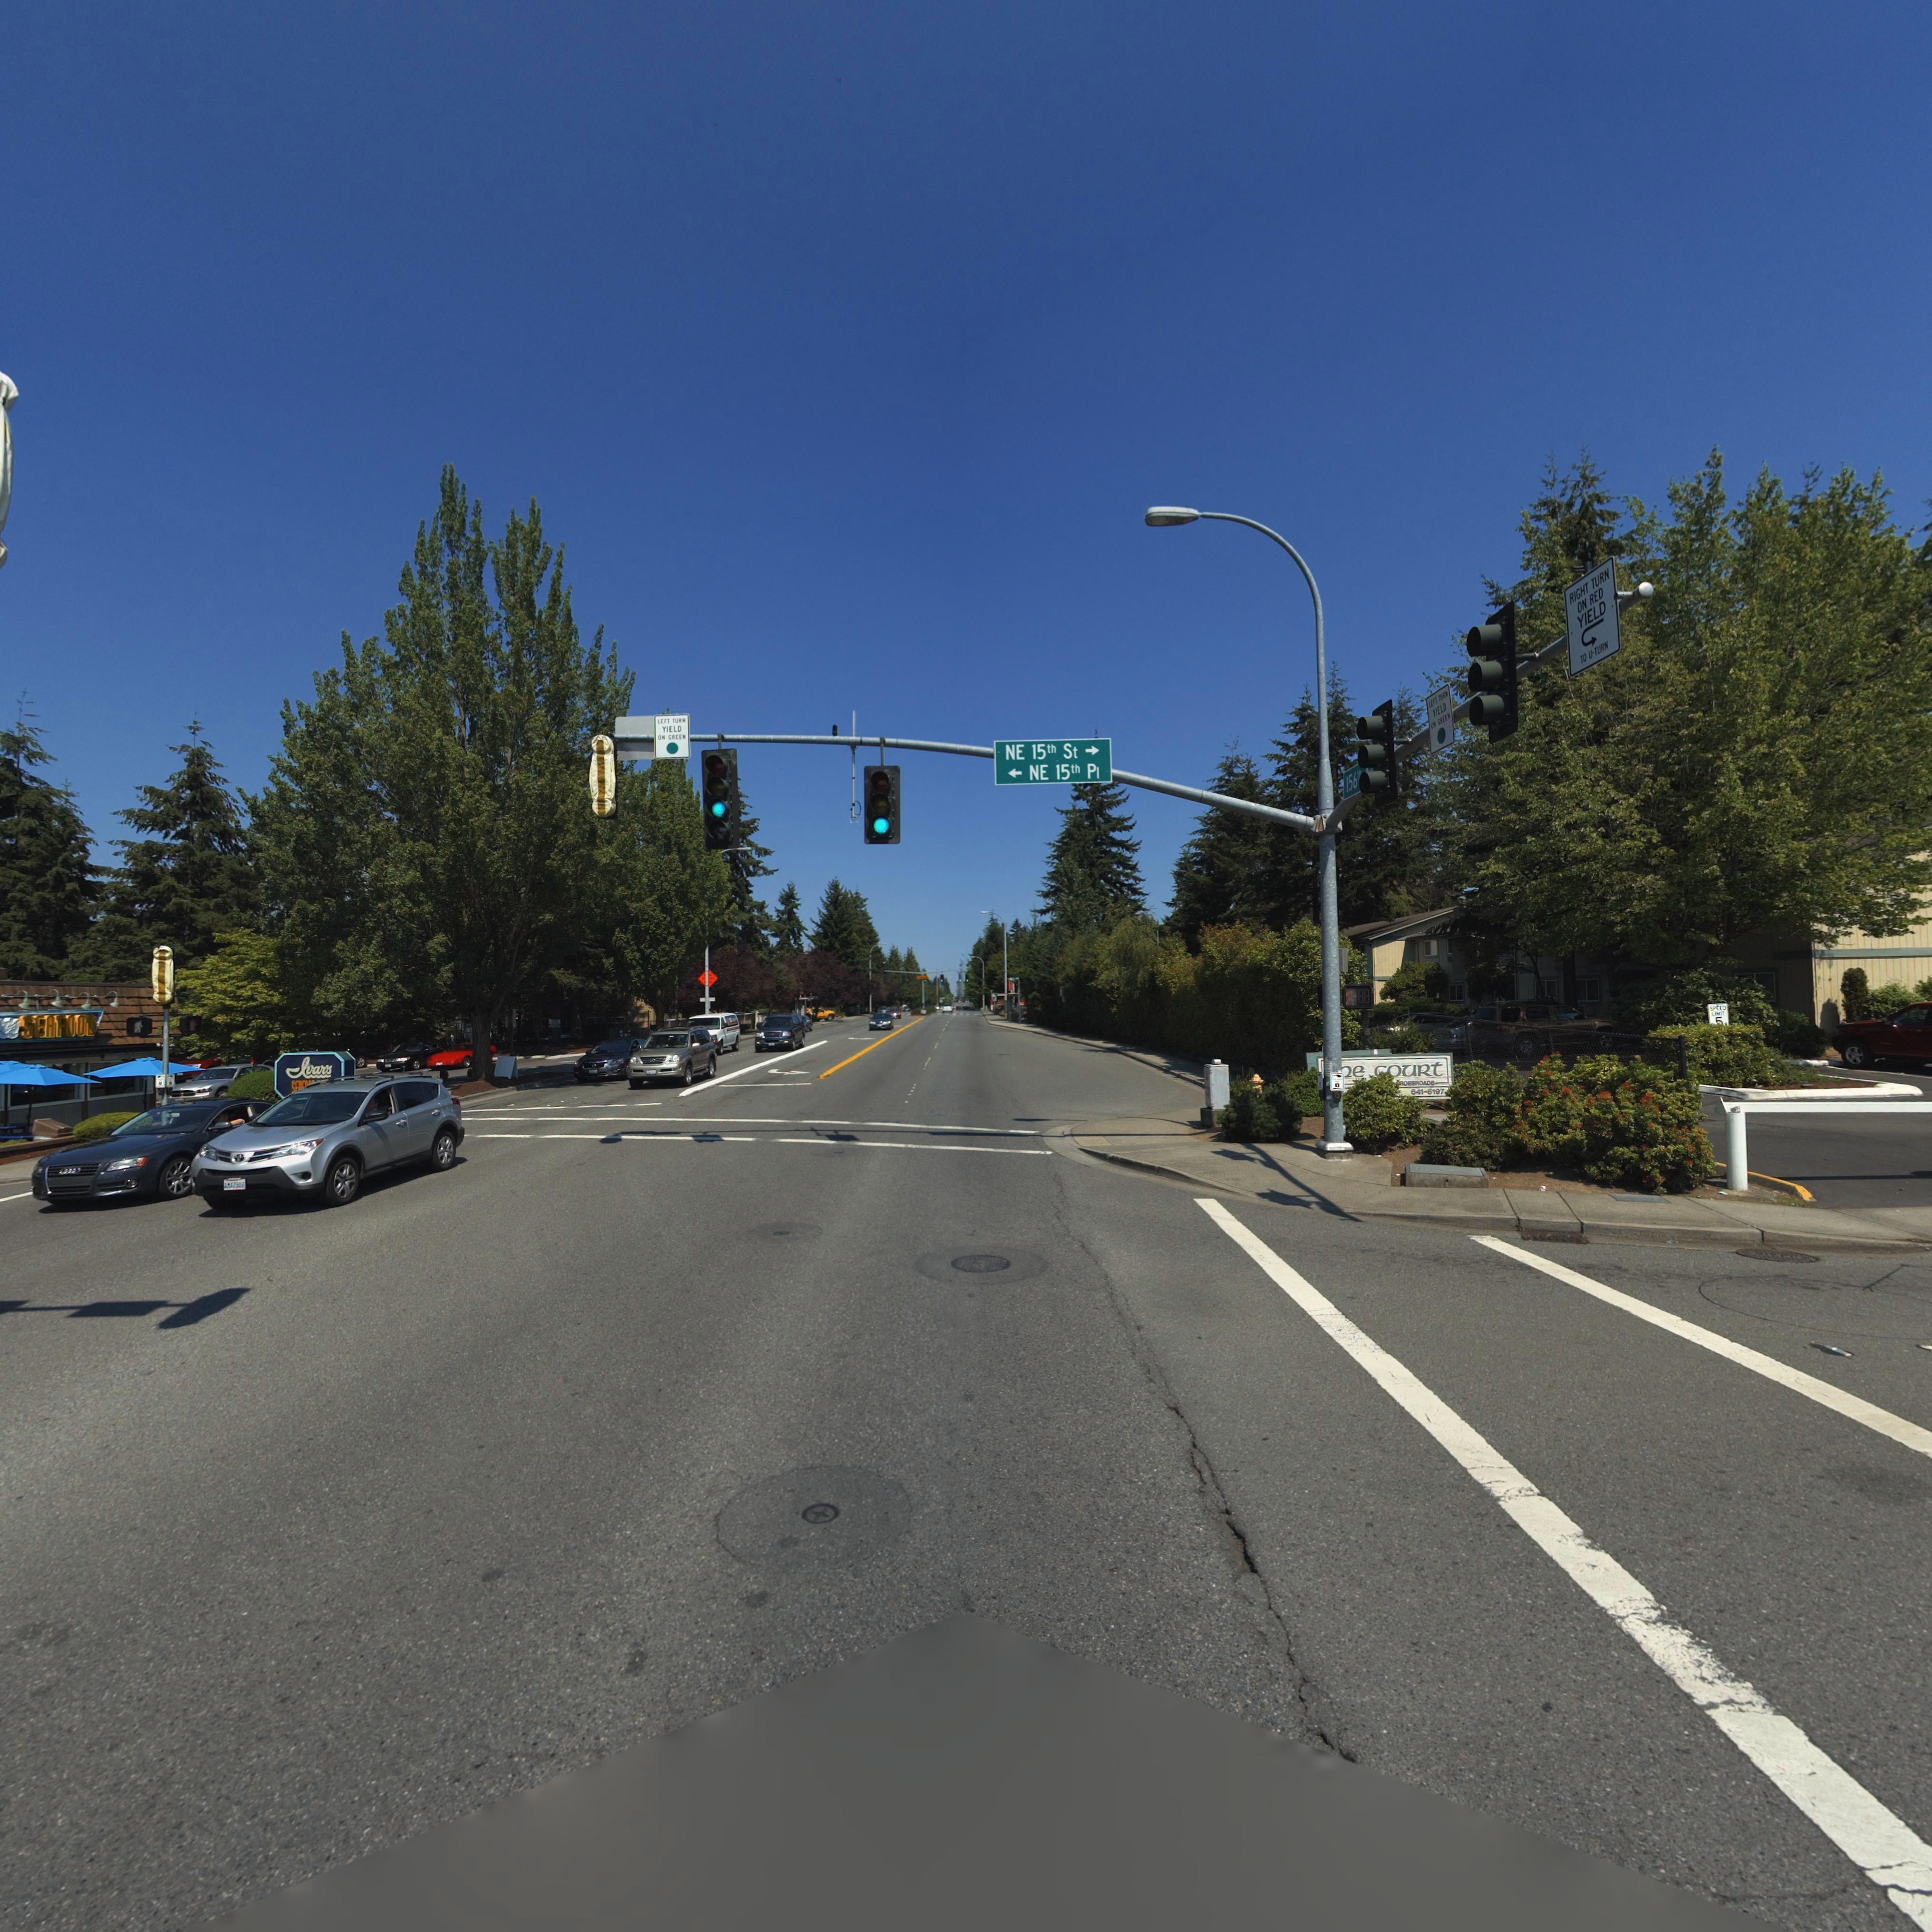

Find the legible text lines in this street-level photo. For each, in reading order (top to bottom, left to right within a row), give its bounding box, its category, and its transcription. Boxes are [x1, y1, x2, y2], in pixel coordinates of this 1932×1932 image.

[1005, 742, 1078, 761] StreetName: NE 15th St
[1029, 762, 1101, 781] StreetName: NE 15th Pl
[1346, 770, 1357, 794] StreetName: 156
[284, 1055, 333, 1079] BusinessName: Ivar's
[1351, 1063, 1365, 1078] BusinessName: e
[1373, 1061, 1444, 1078] BusinessName: *ouRt